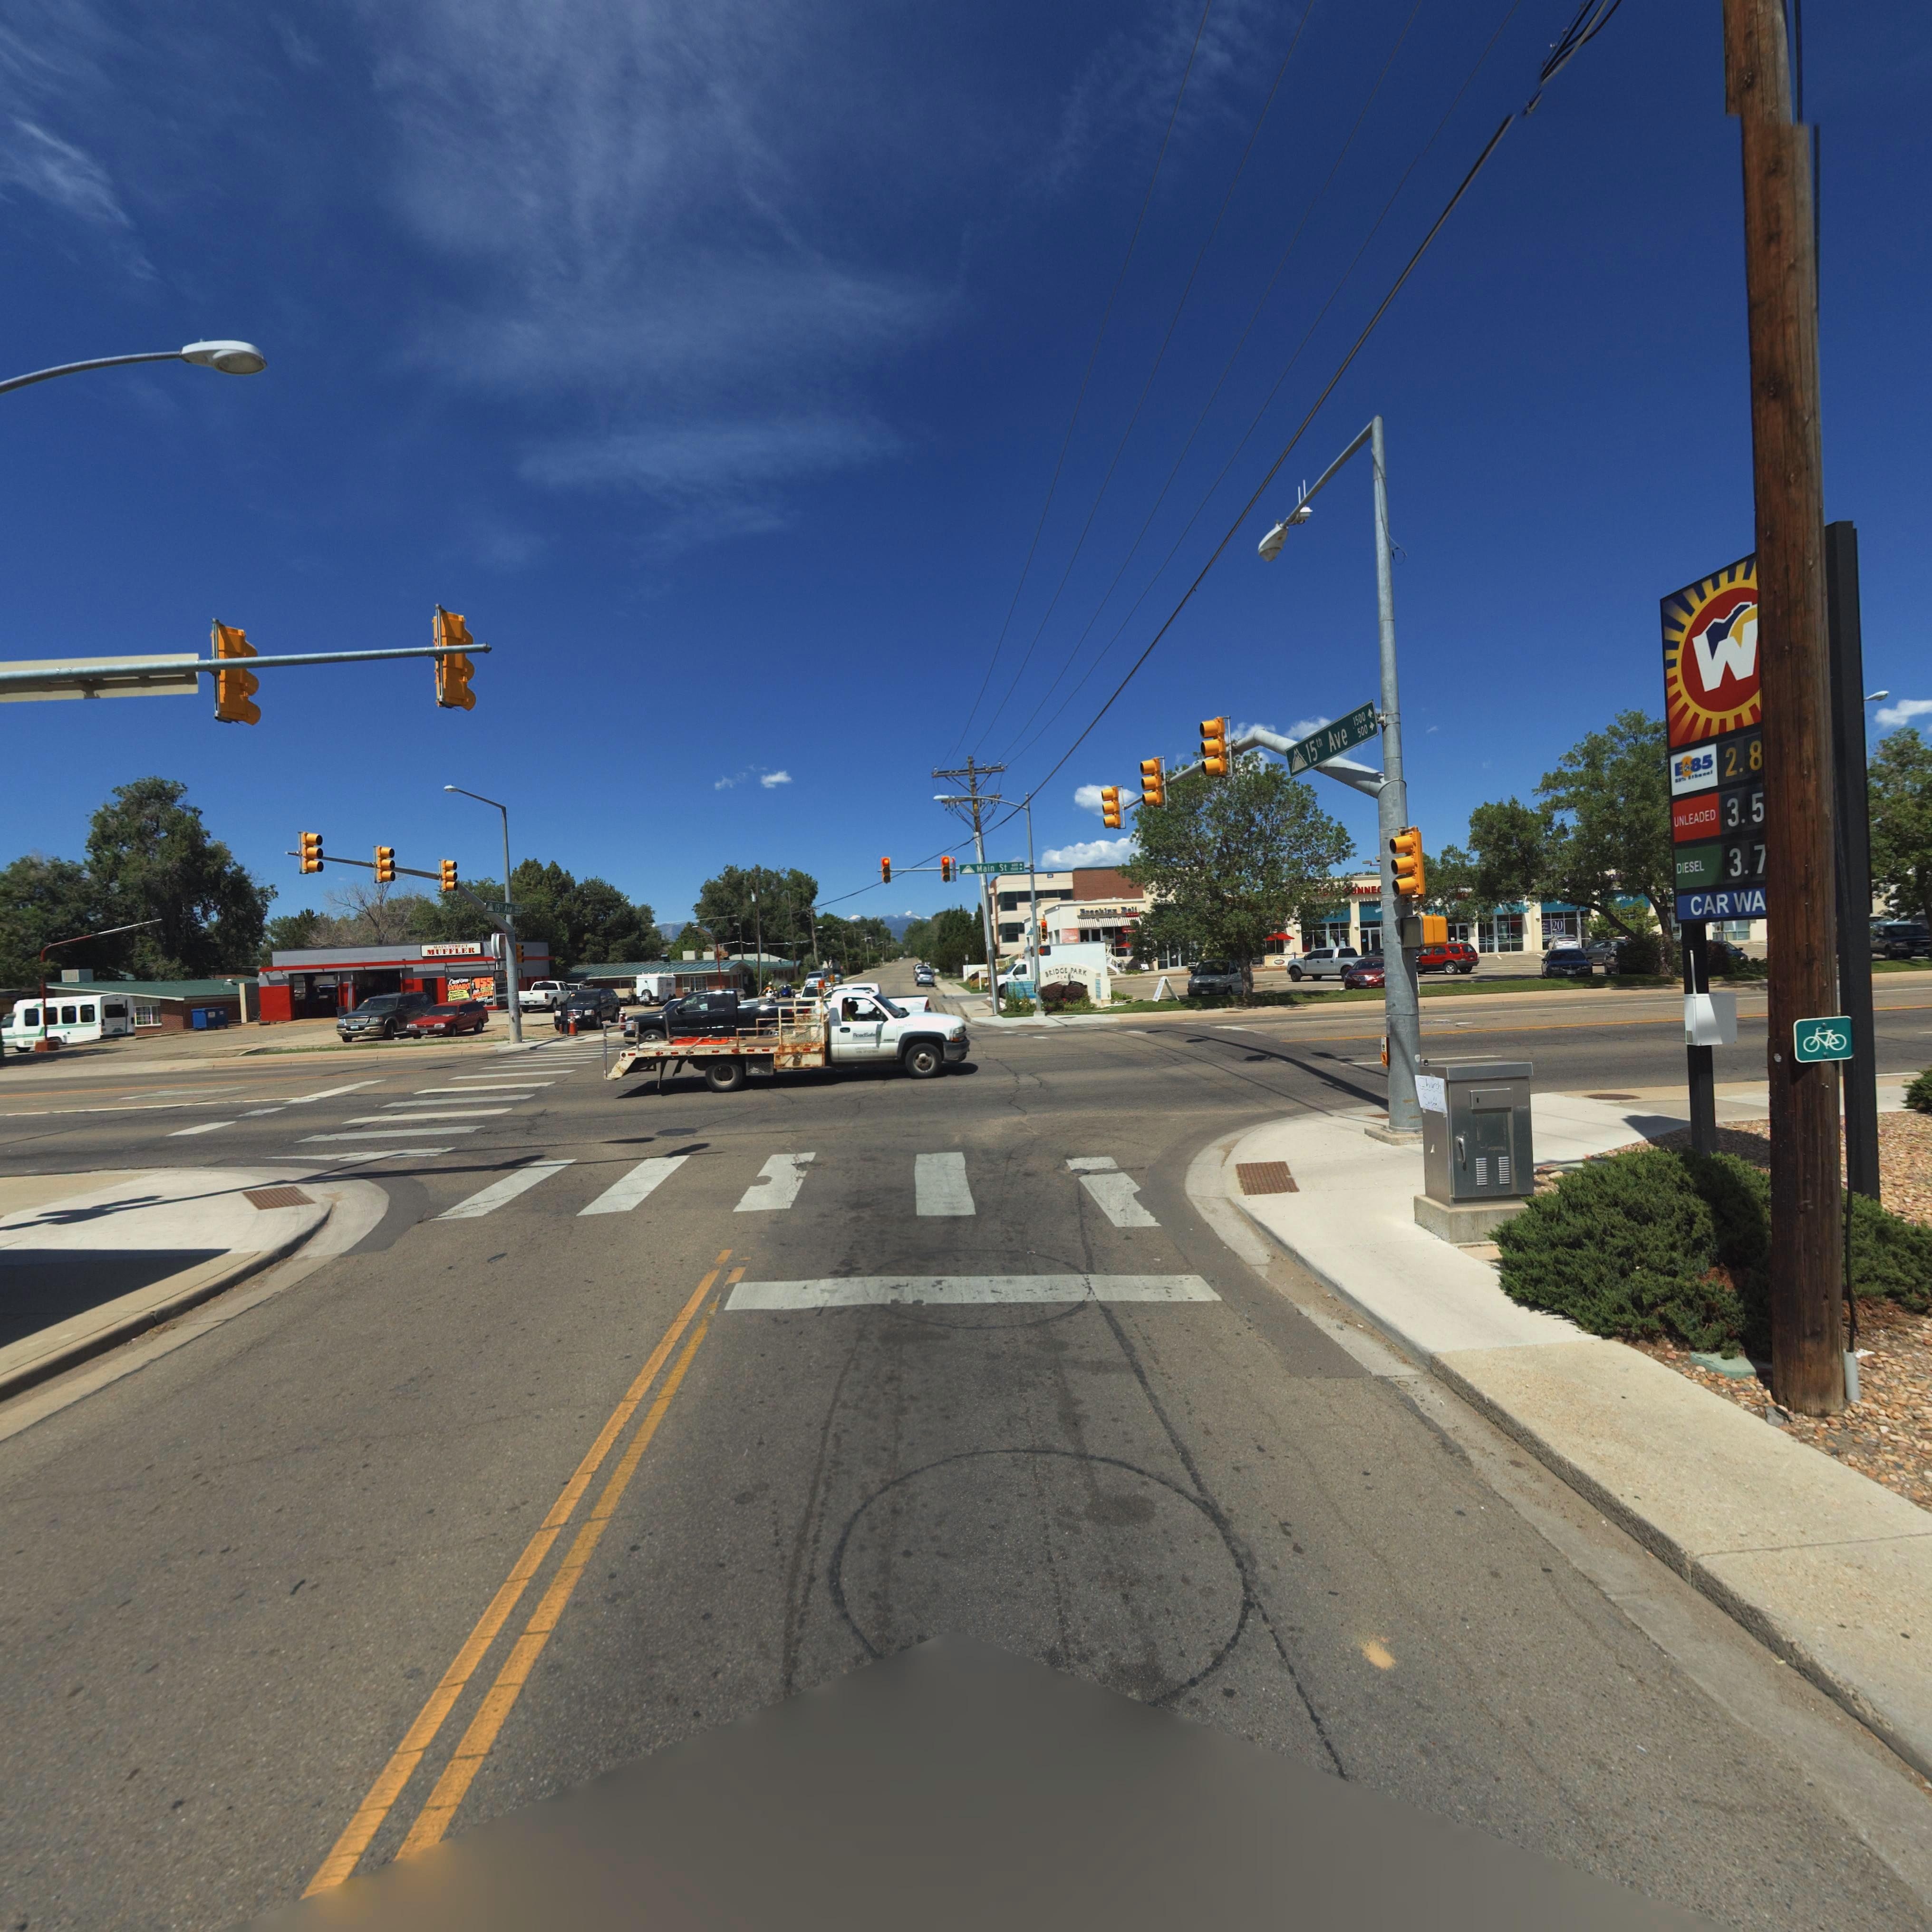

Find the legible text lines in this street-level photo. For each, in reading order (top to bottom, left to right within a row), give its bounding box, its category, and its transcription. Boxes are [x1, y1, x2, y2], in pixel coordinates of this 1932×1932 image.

[1352, 711, 1366, 727] StreetNumberRange: 1500
[1356, 721, 1375, 738] StreetNumberRange: 500->
[1304, 728, 1349, 763] StreetName: 15th Ave
[976, 863, 1007, 872] StreetName: Main St
[1011, 863, 1018, 867] StreetNumberRange: 600
[1010, 867, 1023, 870] StreetNumberRange: 1500->
[1343, 885, 1381, 894] BusinessName: **NNE*
[494, 903, 512, 913] StreetName: 15th Ave
[1079, 906, 1137, 915] BusinessName: Br***l** D*li
[433, 944, 468, 949] BusinessName: MAIN STREET
[426, 947, 475, 955] BusinessName: MUFFLER